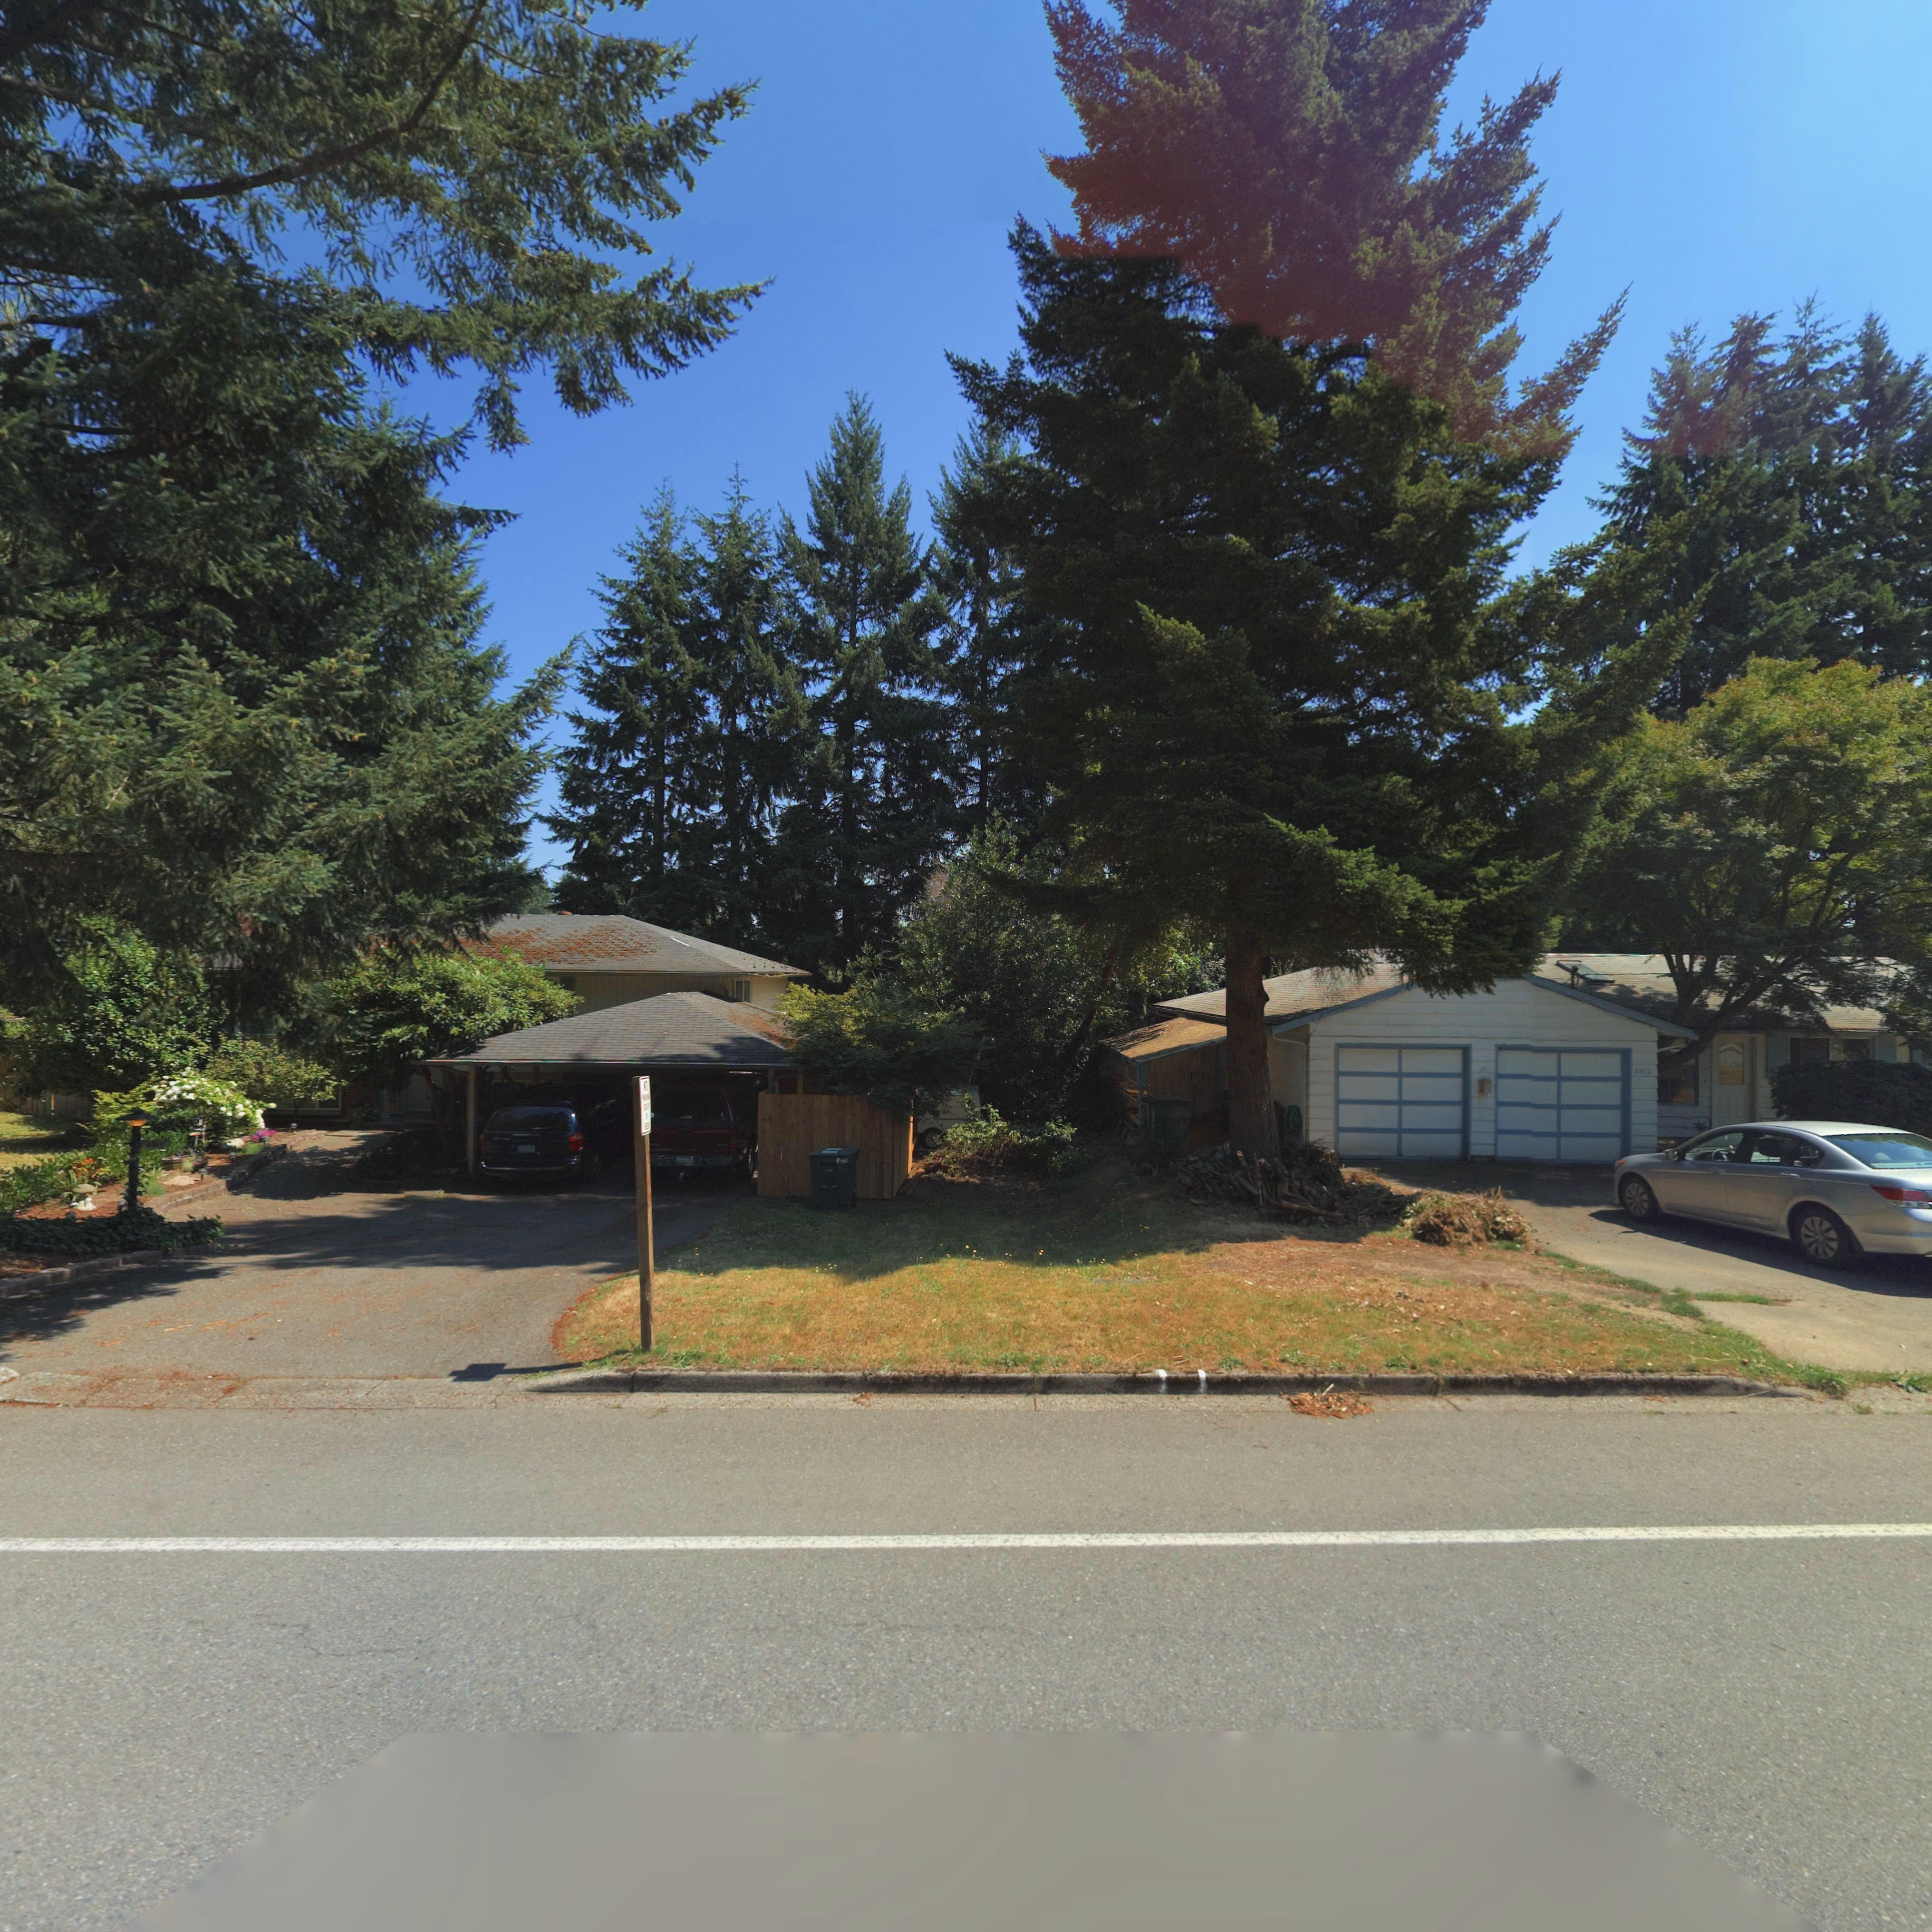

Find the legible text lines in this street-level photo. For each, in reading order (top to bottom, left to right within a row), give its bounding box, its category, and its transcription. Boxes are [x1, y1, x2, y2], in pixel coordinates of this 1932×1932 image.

[1634, 1068, 1652, 1074] StreetNumber: 2412